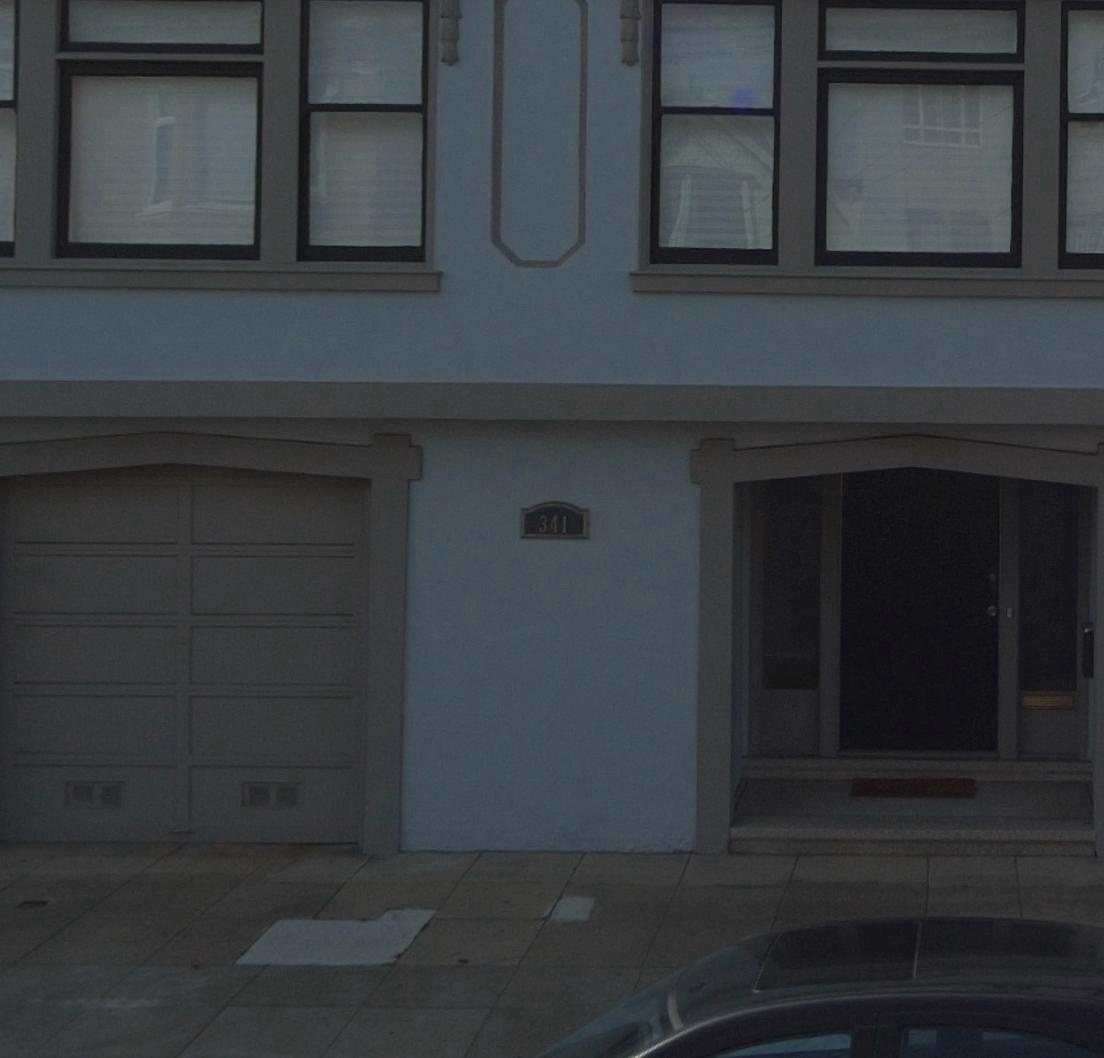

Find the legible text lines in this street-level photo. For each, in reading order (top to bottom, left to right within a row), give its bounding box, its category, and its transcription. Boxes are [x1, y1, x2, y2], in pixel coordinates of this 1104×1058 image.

[537, 514, 569, 534] StreetNumber: 341